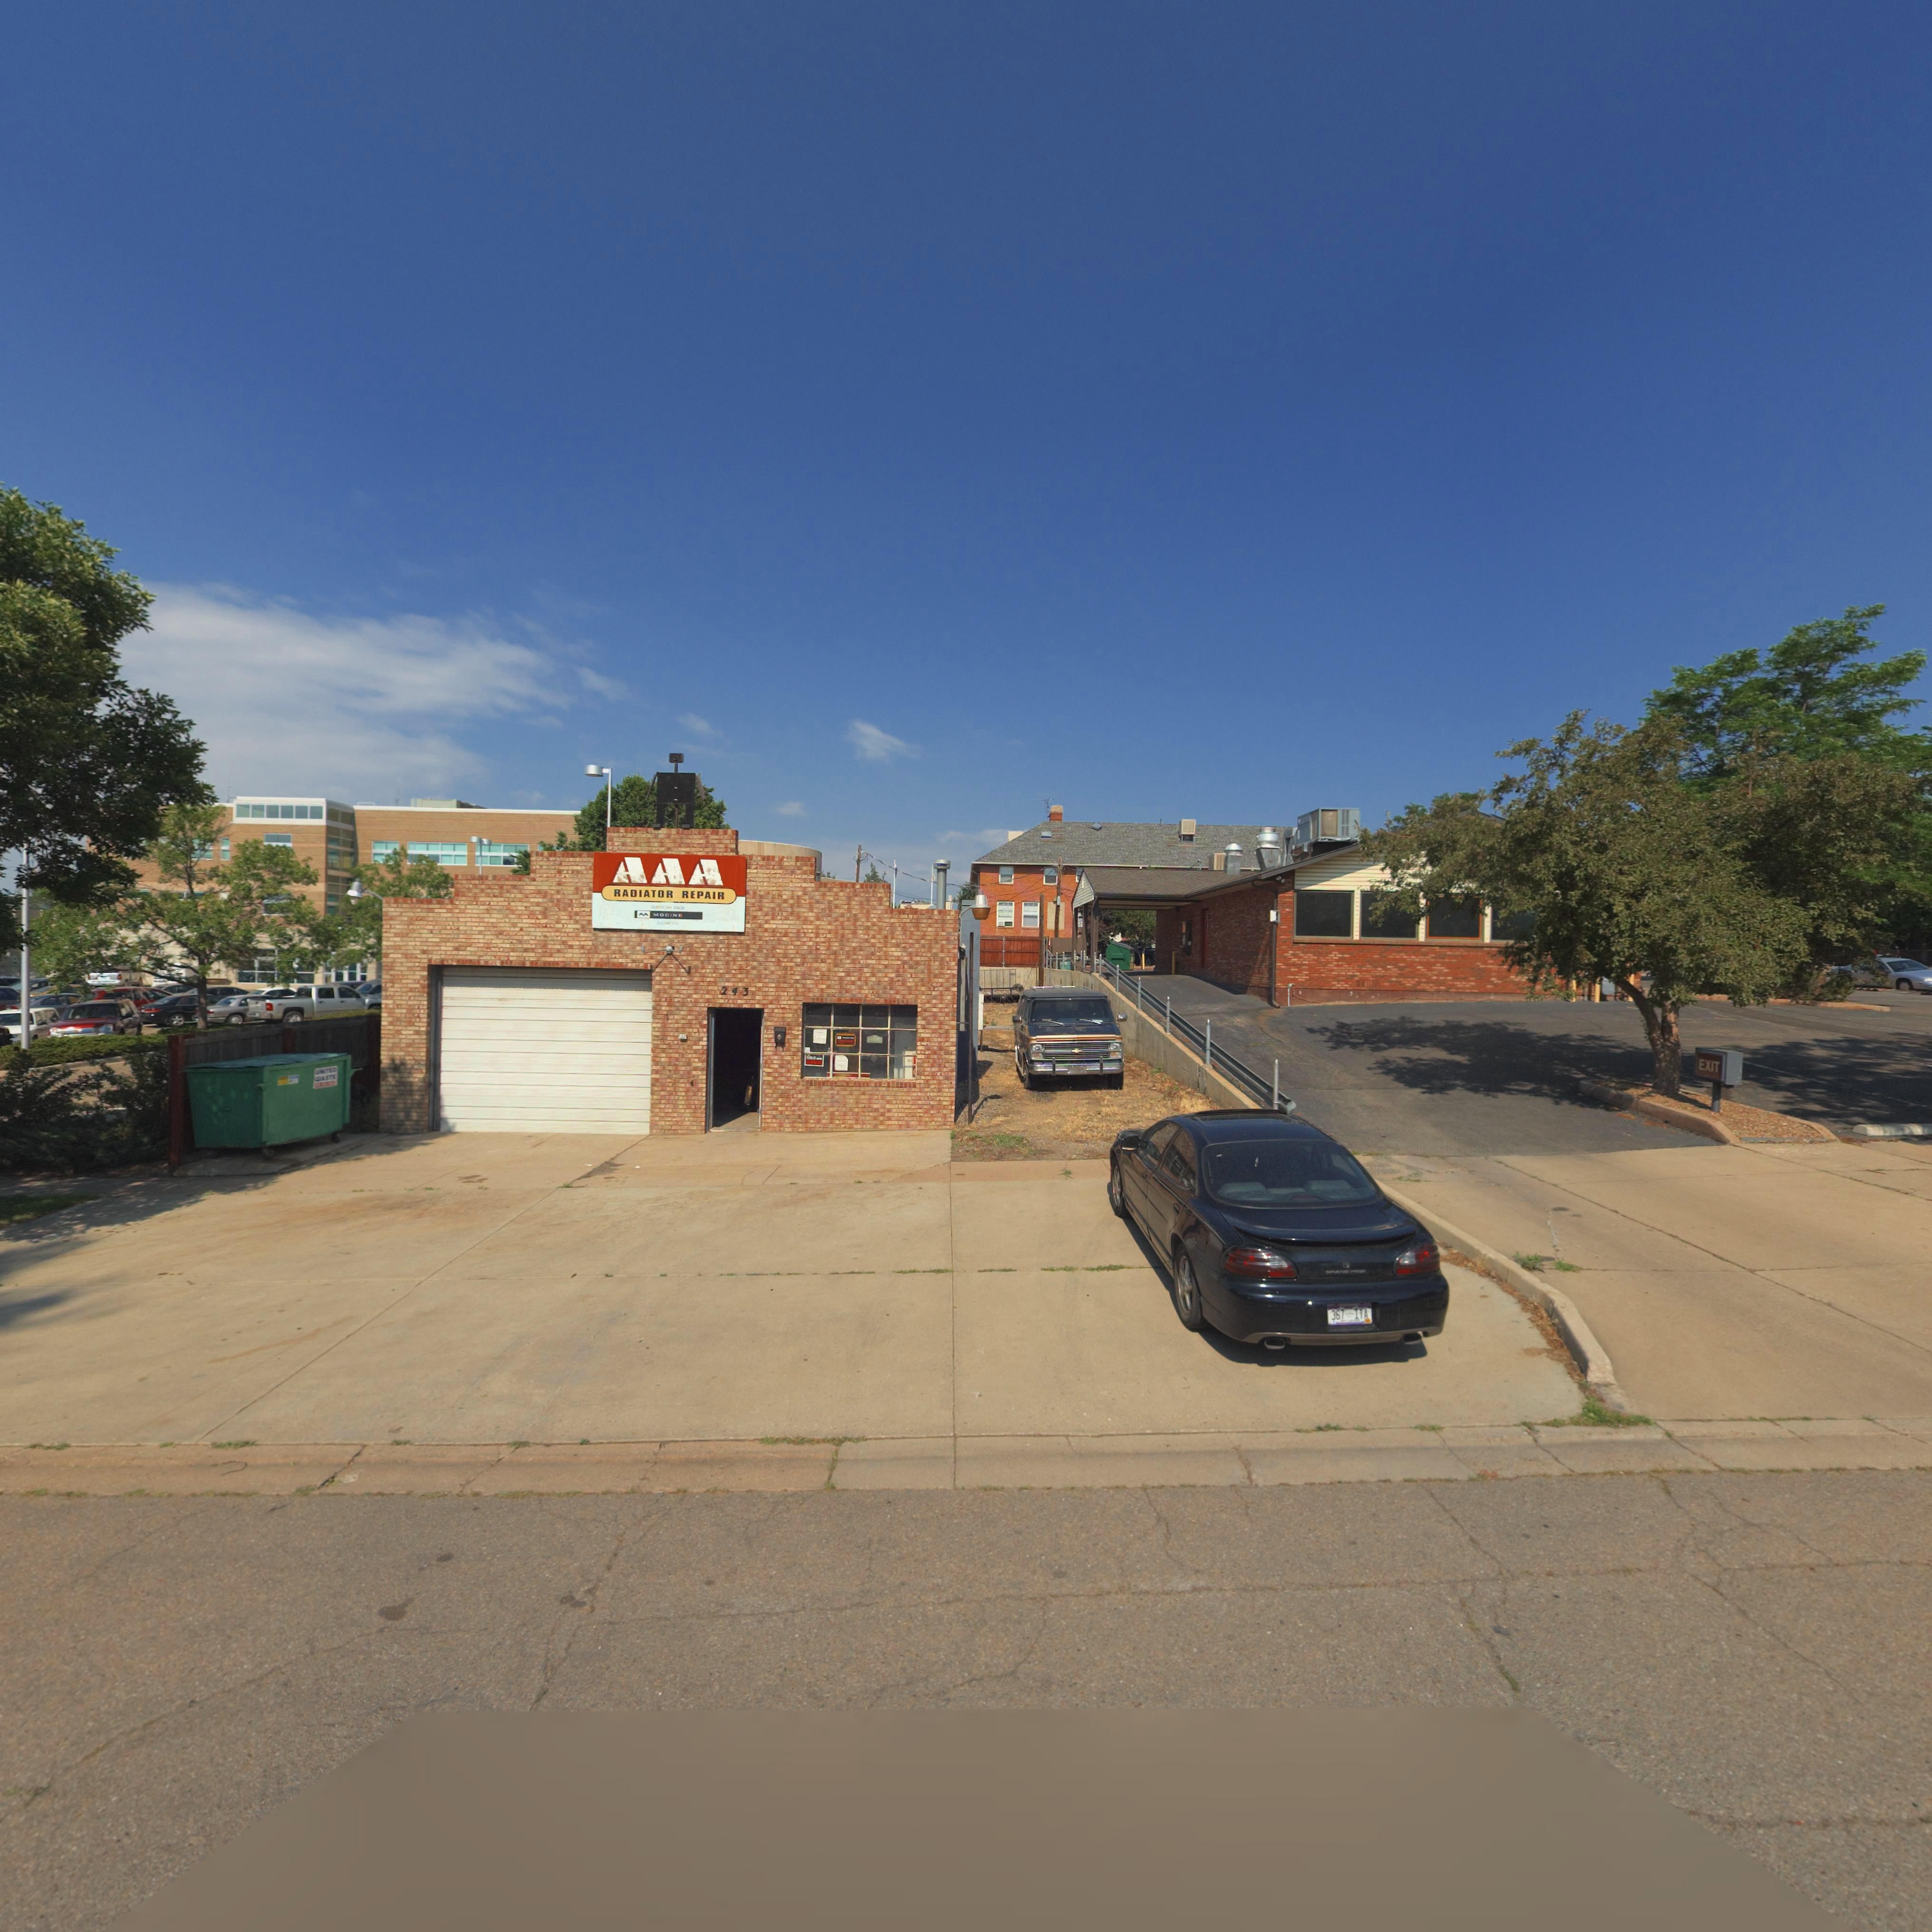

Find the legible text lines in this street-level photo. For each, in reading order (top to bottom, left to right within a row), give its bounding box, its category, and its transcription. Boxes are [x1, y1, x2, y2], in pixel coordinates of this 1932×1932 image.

[611, 856, 724, 886] BusinessName: AAA
[613, 889, 724, 899] BusinessName: RADIATOR REPAIR
[720, 986, 749, 996] StreetNumber: 243